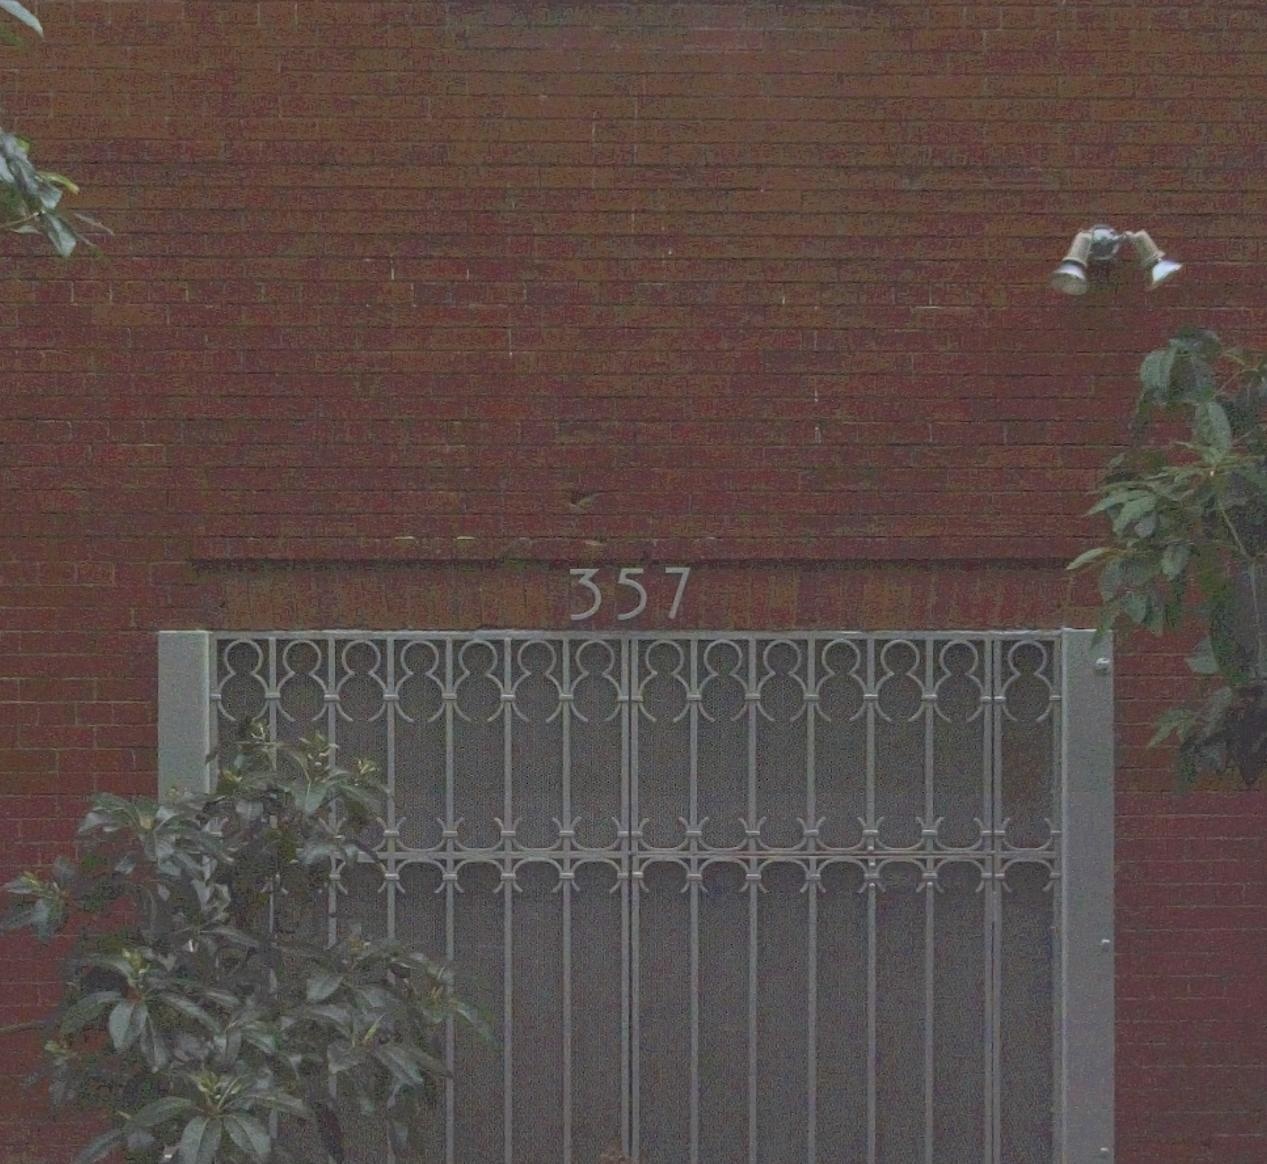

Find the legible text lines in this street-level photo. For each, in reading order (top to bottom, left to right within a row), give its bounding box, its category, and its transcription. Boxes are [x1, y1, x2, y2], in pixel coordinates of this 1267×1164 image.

[566, 564, 696, 624] StreetNumber: 357